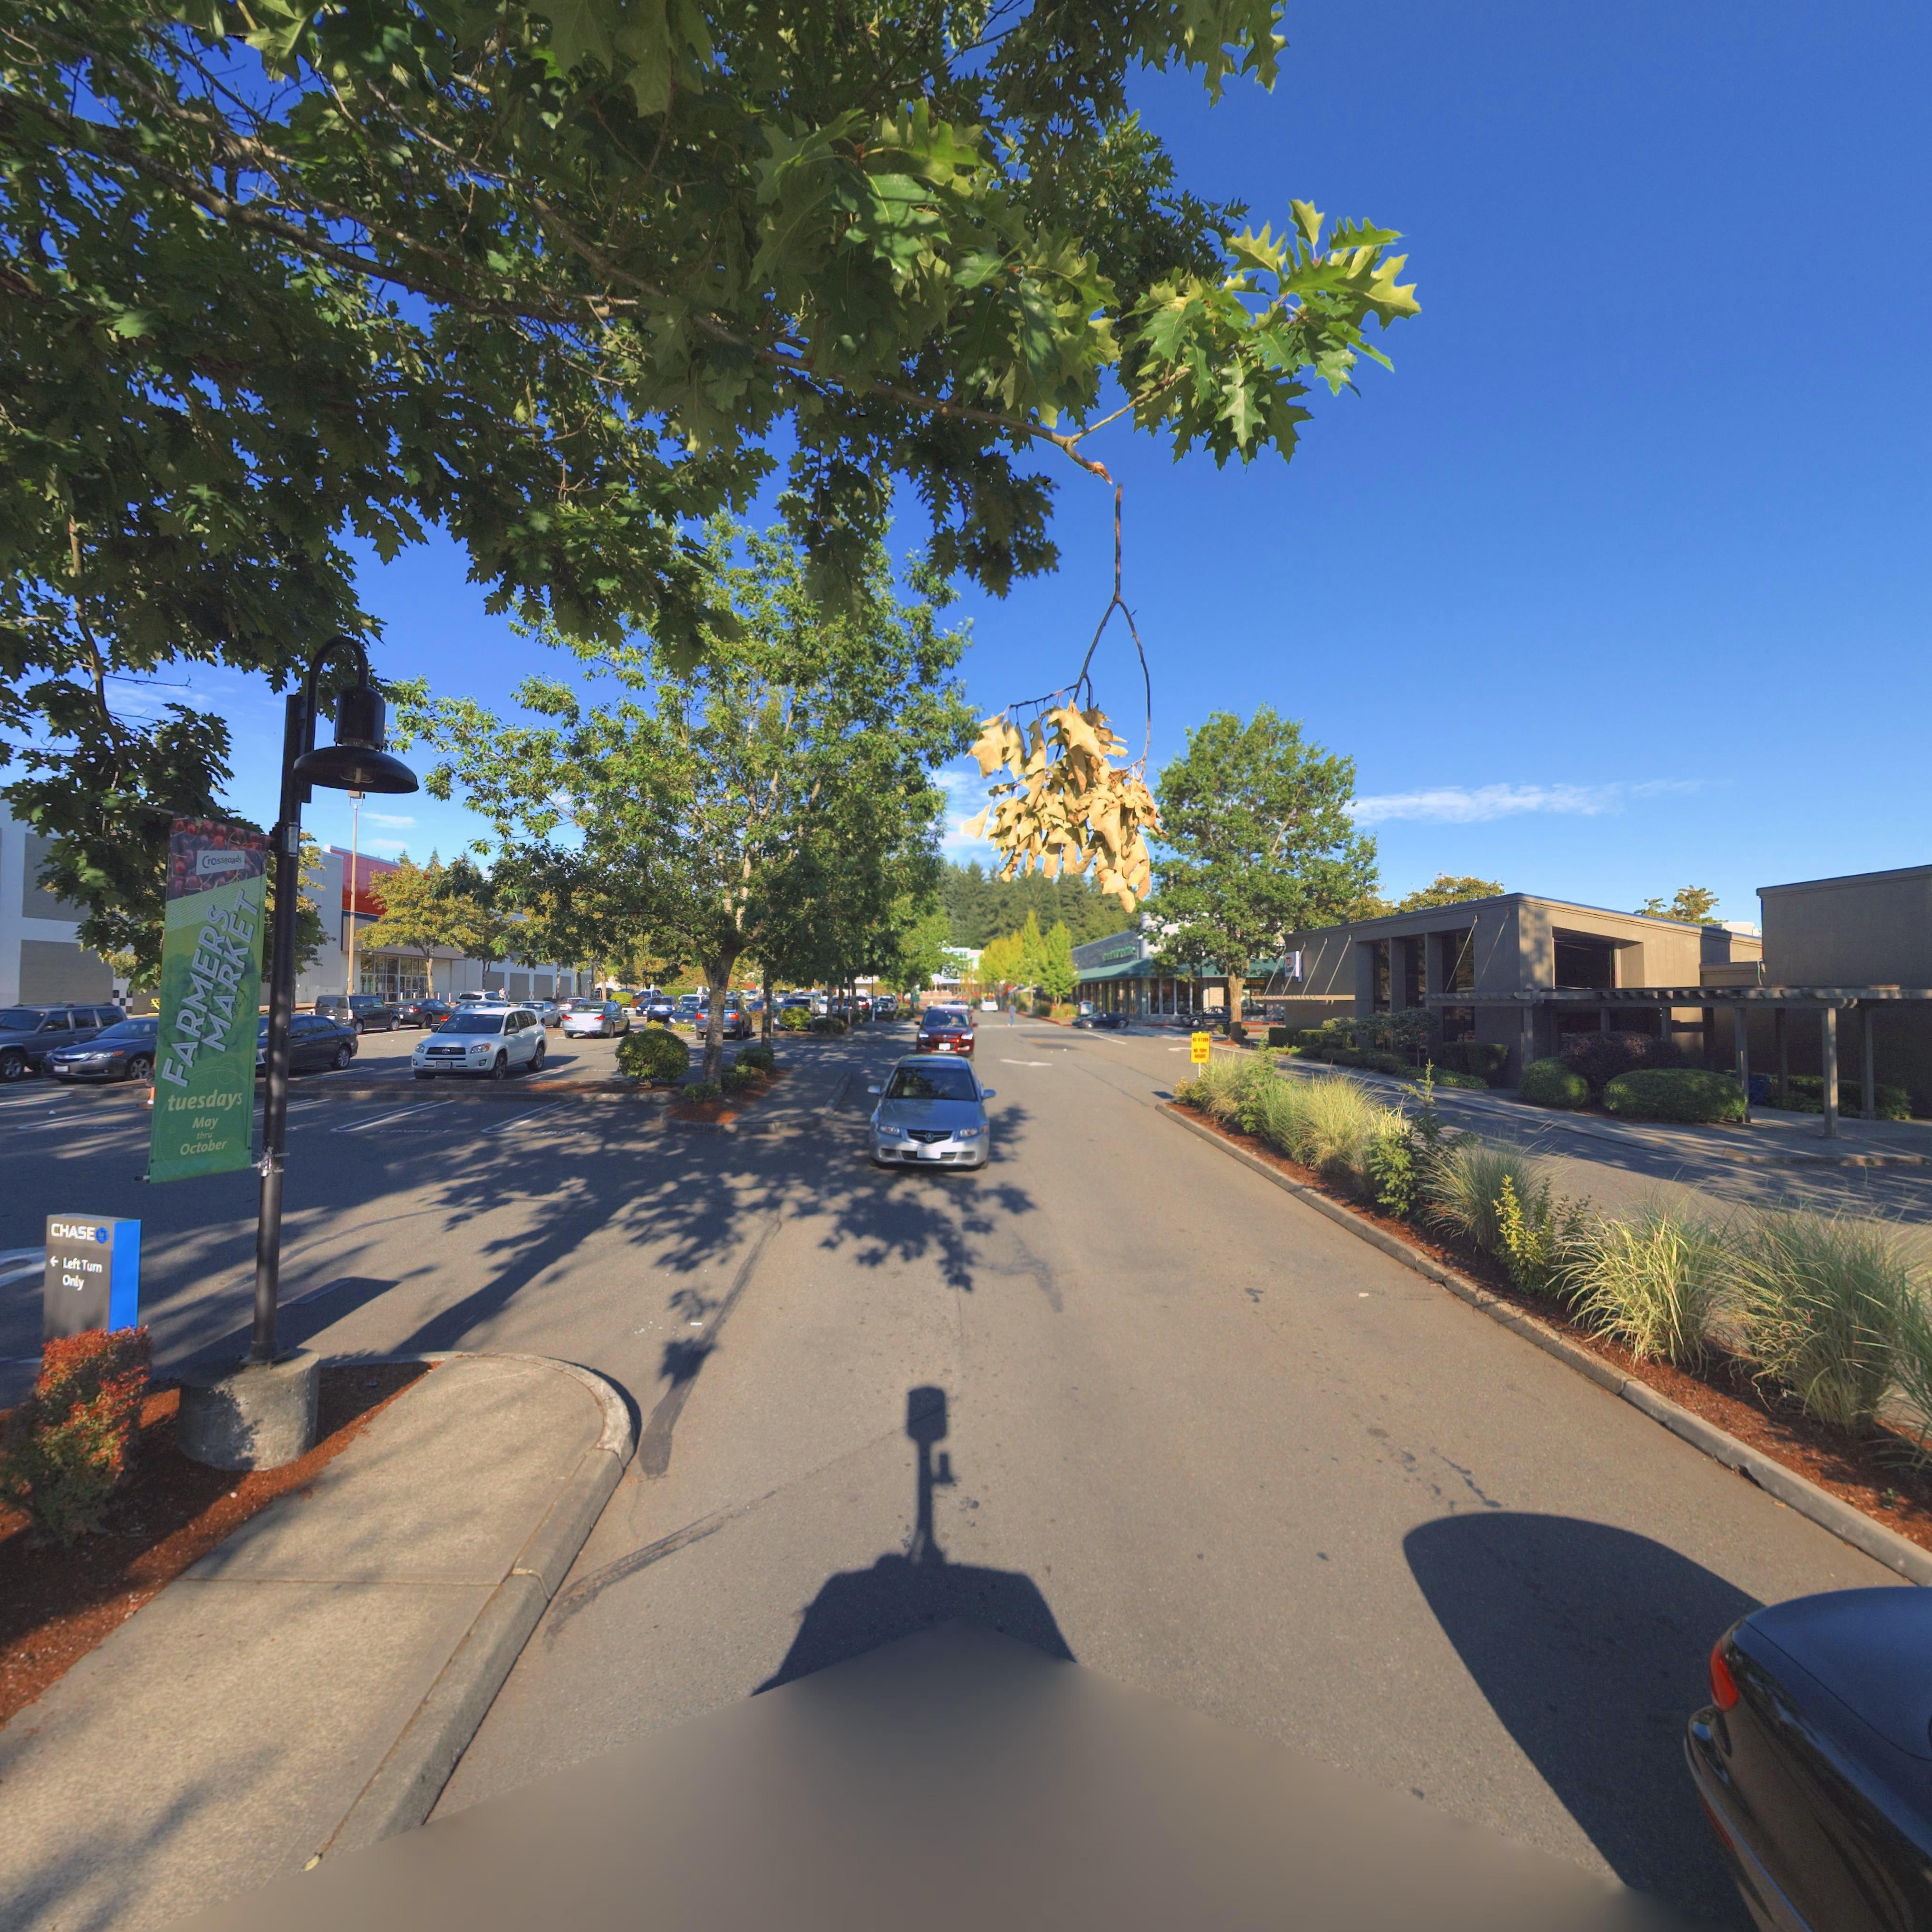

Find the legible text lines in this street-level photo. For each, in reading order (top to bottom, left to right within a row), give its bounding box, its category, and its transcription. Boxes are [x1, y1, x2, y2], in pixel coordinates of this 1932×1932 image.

[49, 1223, 95, 1240] BusinessName: CHASE